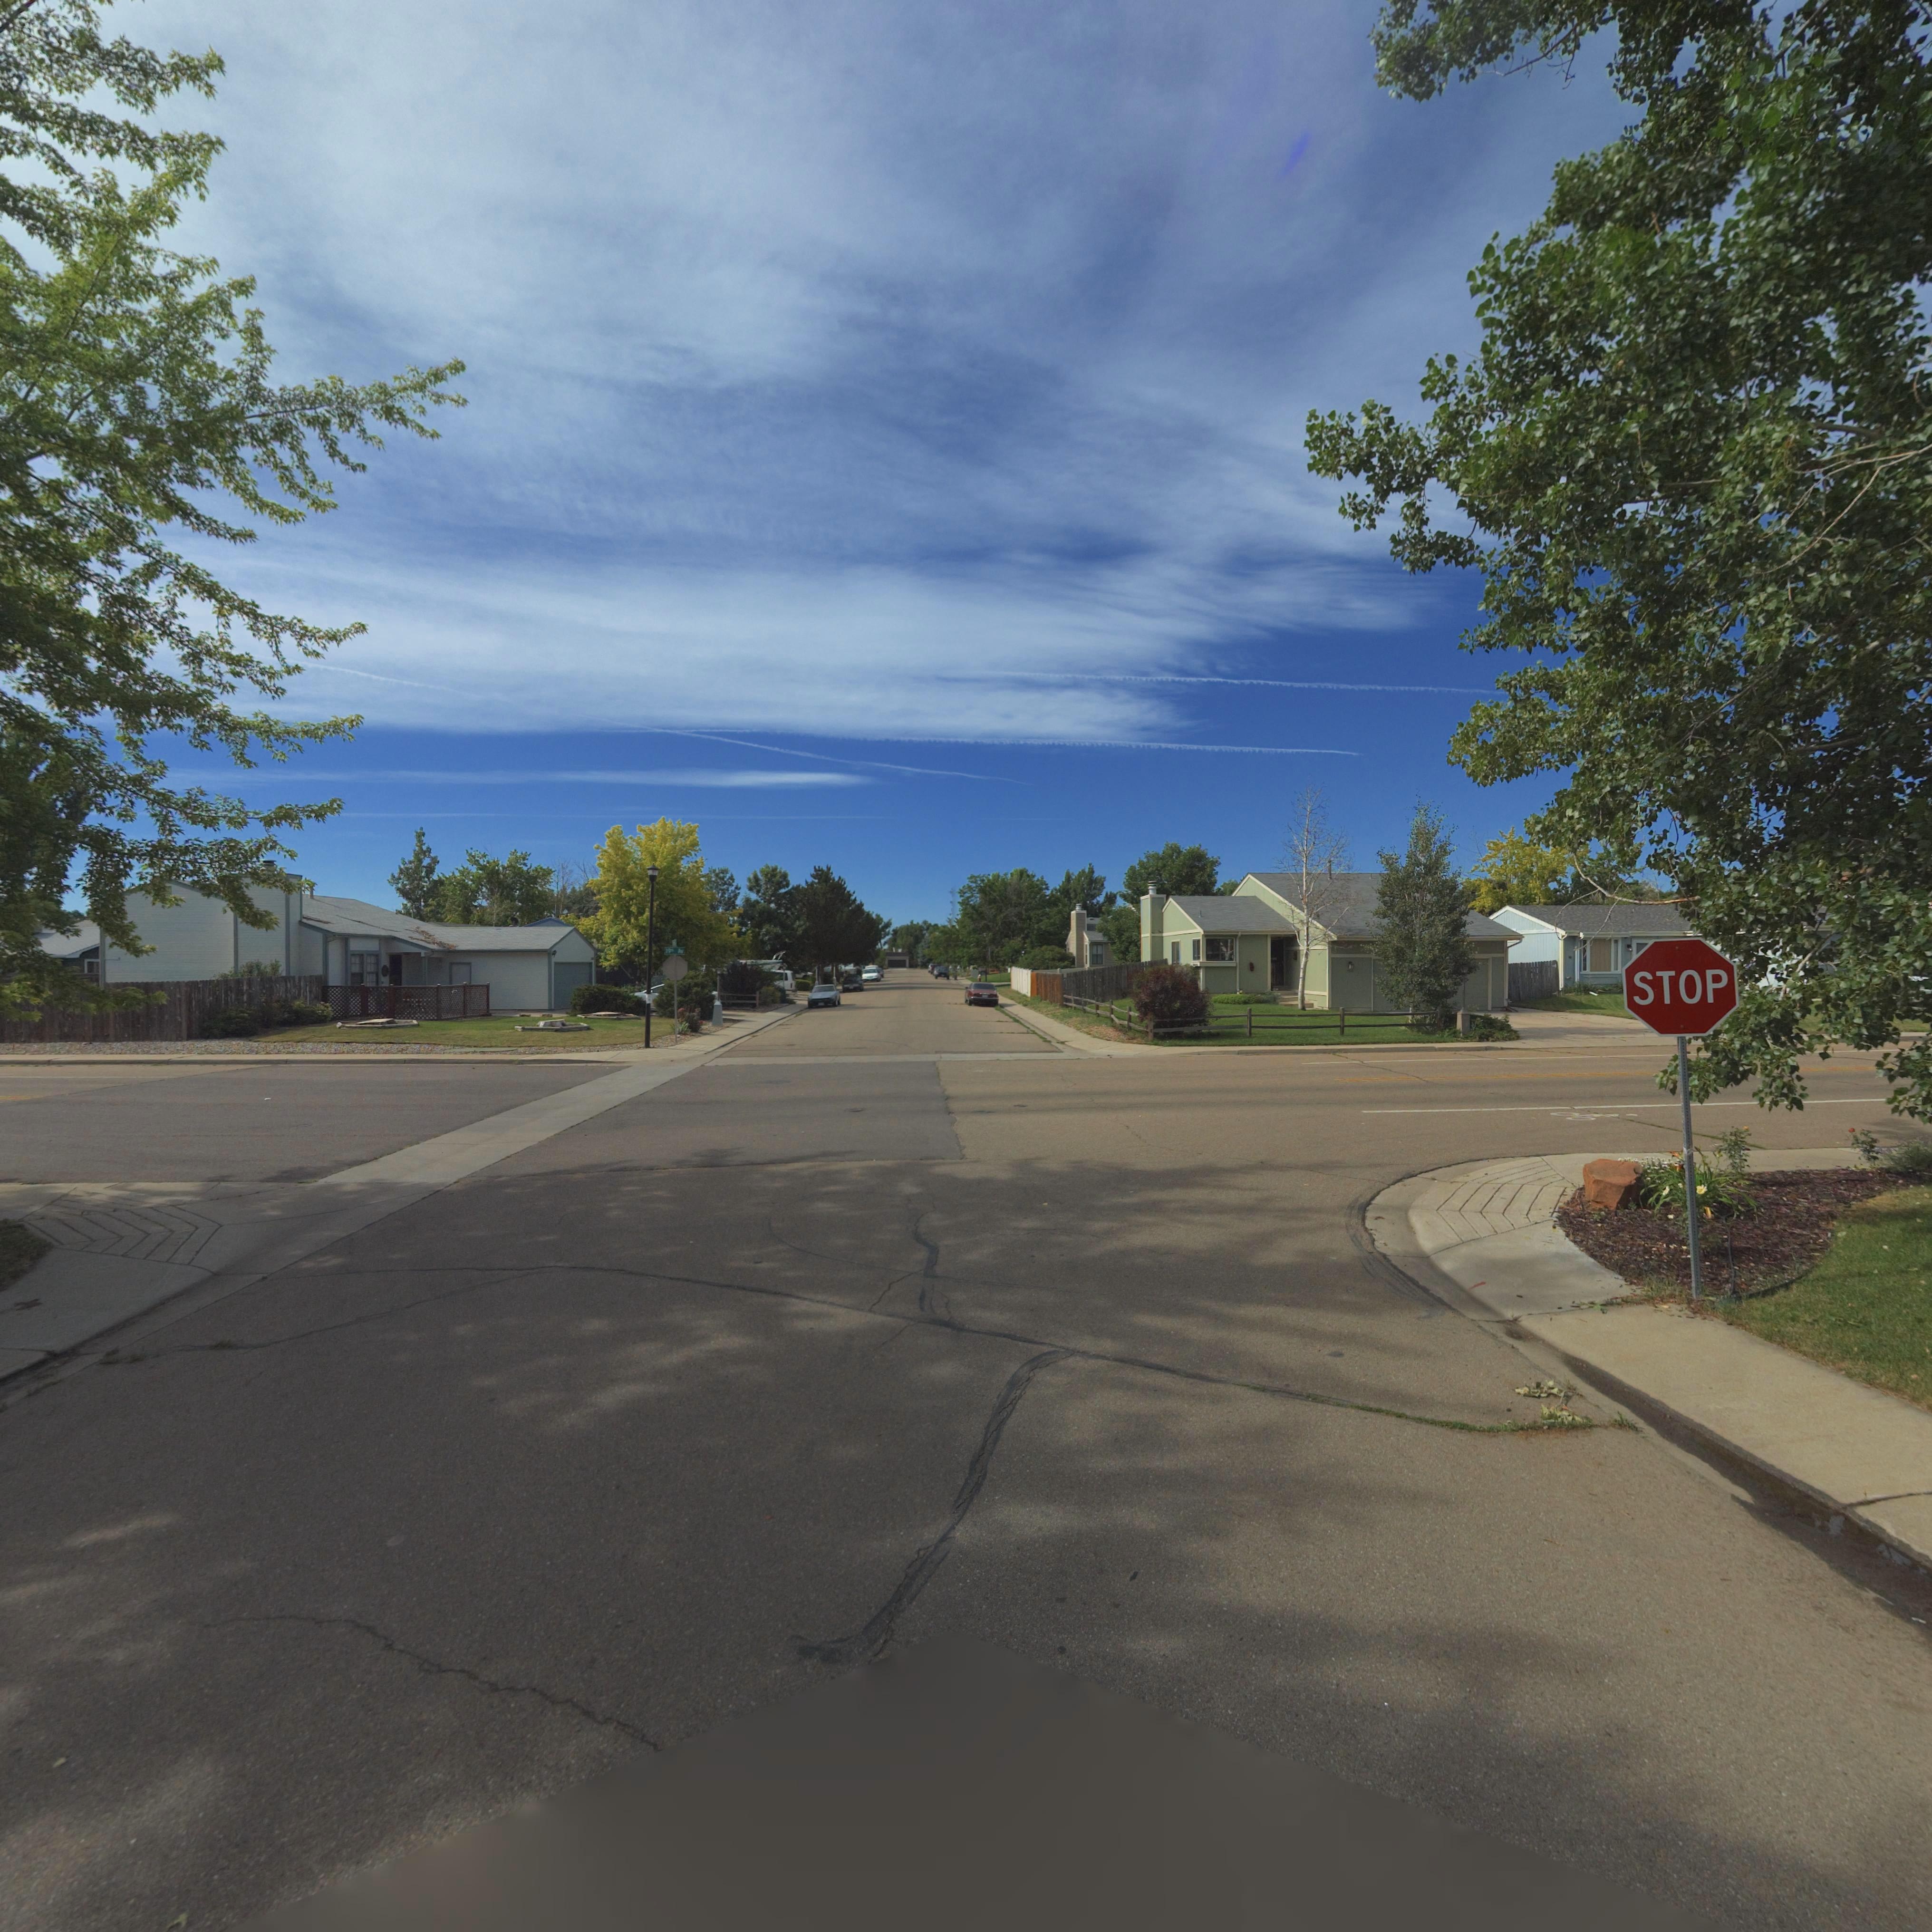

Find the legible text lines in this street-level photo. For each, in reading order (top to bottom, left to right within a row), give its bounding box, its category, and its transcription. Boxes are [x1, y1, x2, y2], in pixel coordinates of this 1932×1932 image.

[665, 947, 684, 954] StreetName: 19th Av